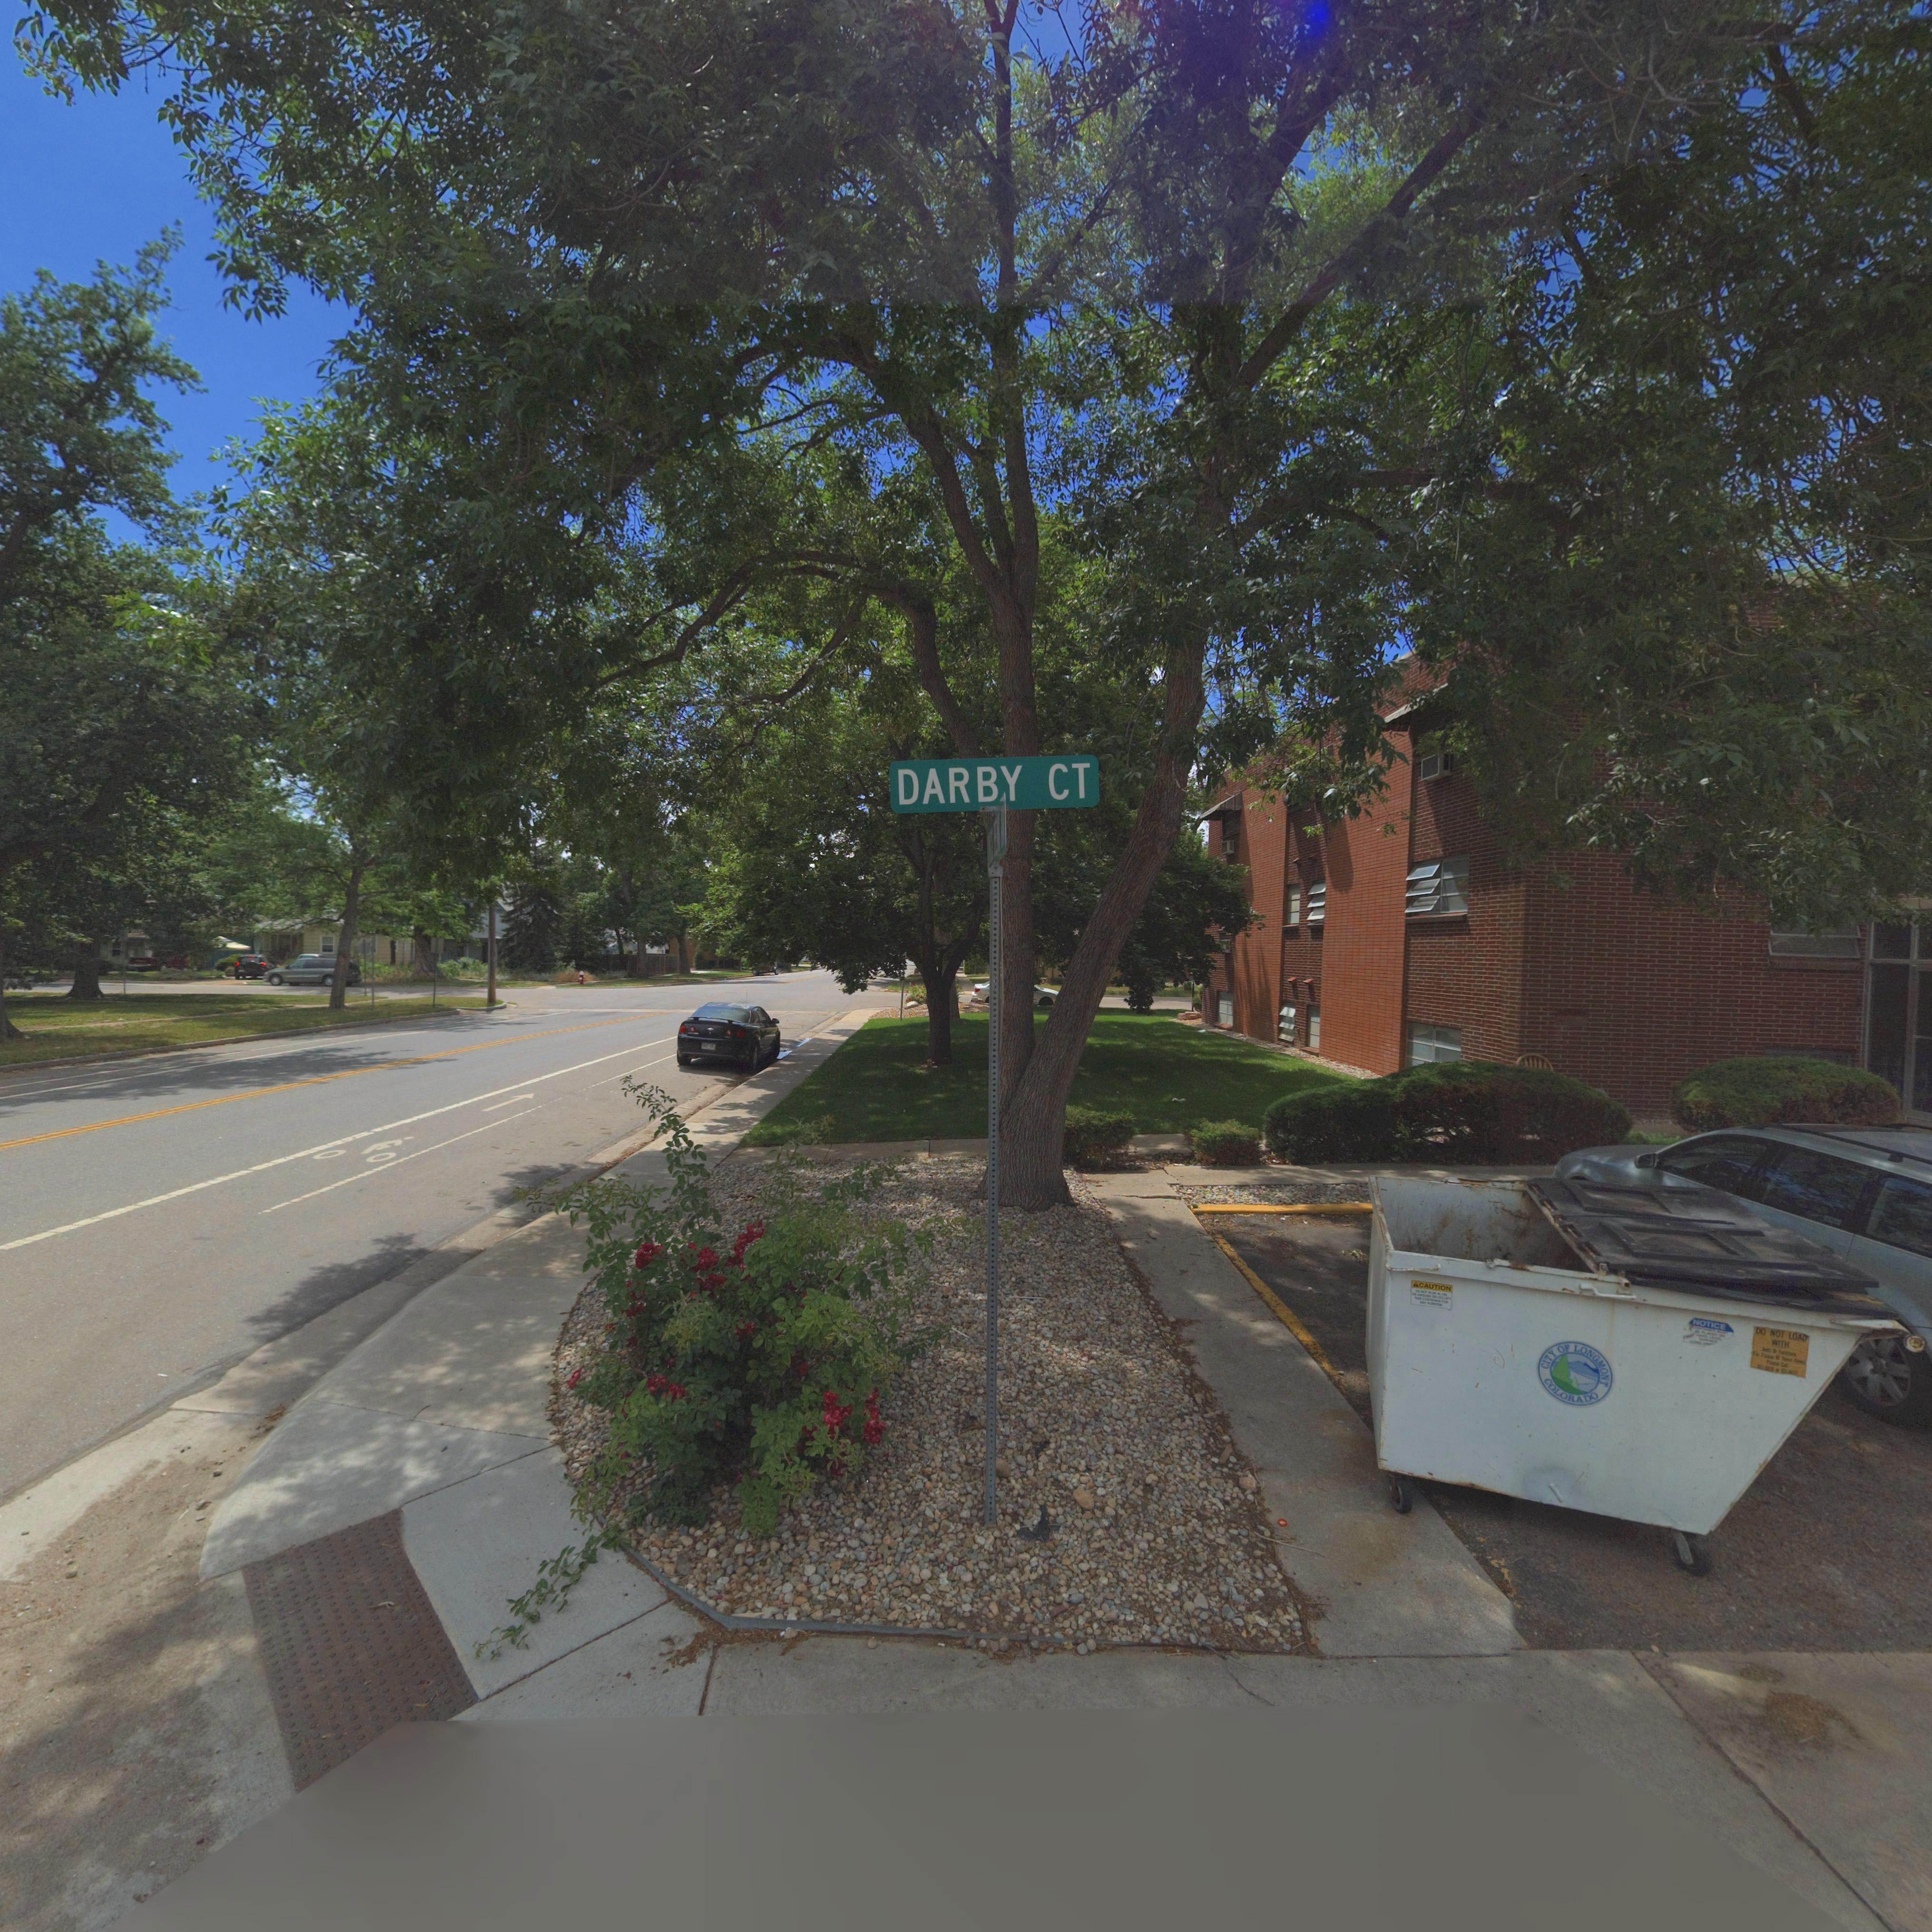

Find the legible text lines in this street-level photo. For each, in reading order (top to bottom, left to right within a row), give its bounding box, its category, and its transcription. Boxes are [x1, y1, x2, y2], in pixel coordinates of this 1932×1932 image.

[897, 762, 1091, 807] StreetName: DARBY CT